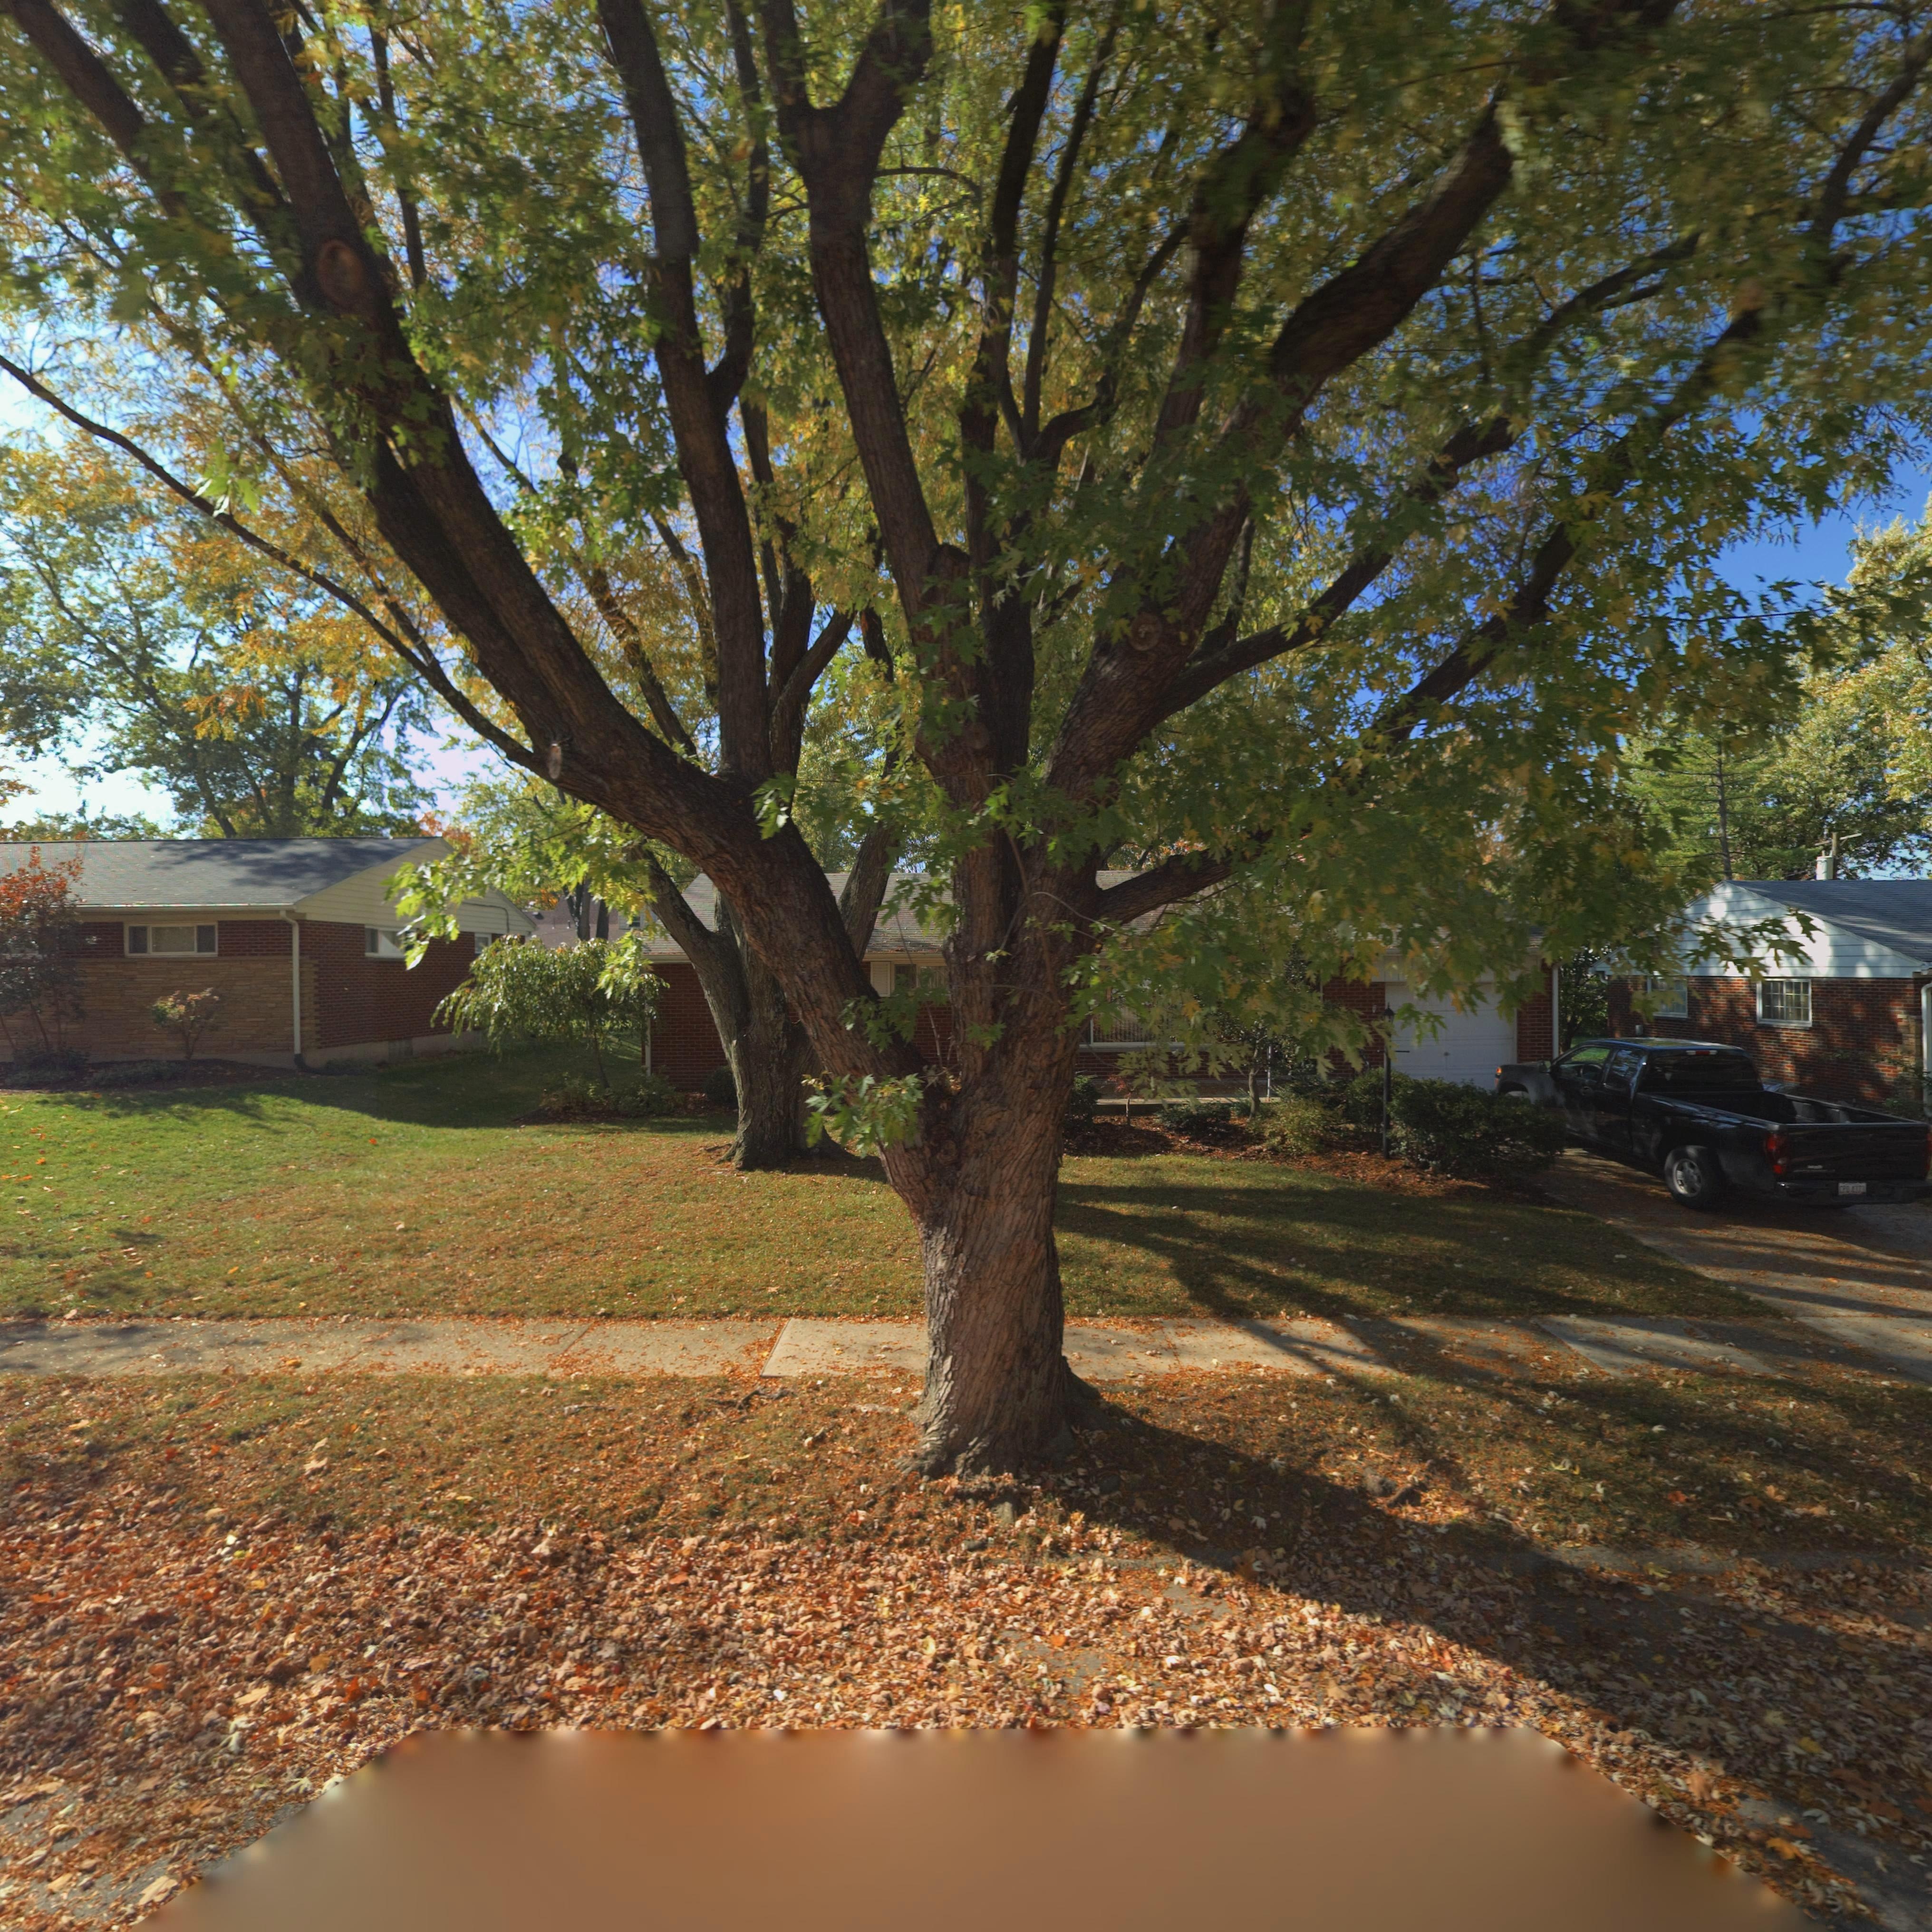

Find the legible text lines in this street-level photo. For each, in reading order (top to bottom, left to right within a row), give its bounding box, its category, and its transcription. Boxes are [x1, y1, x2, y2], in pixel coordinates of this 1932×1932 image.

[1837, 1184, 1867, 1196] None: CP* 4***